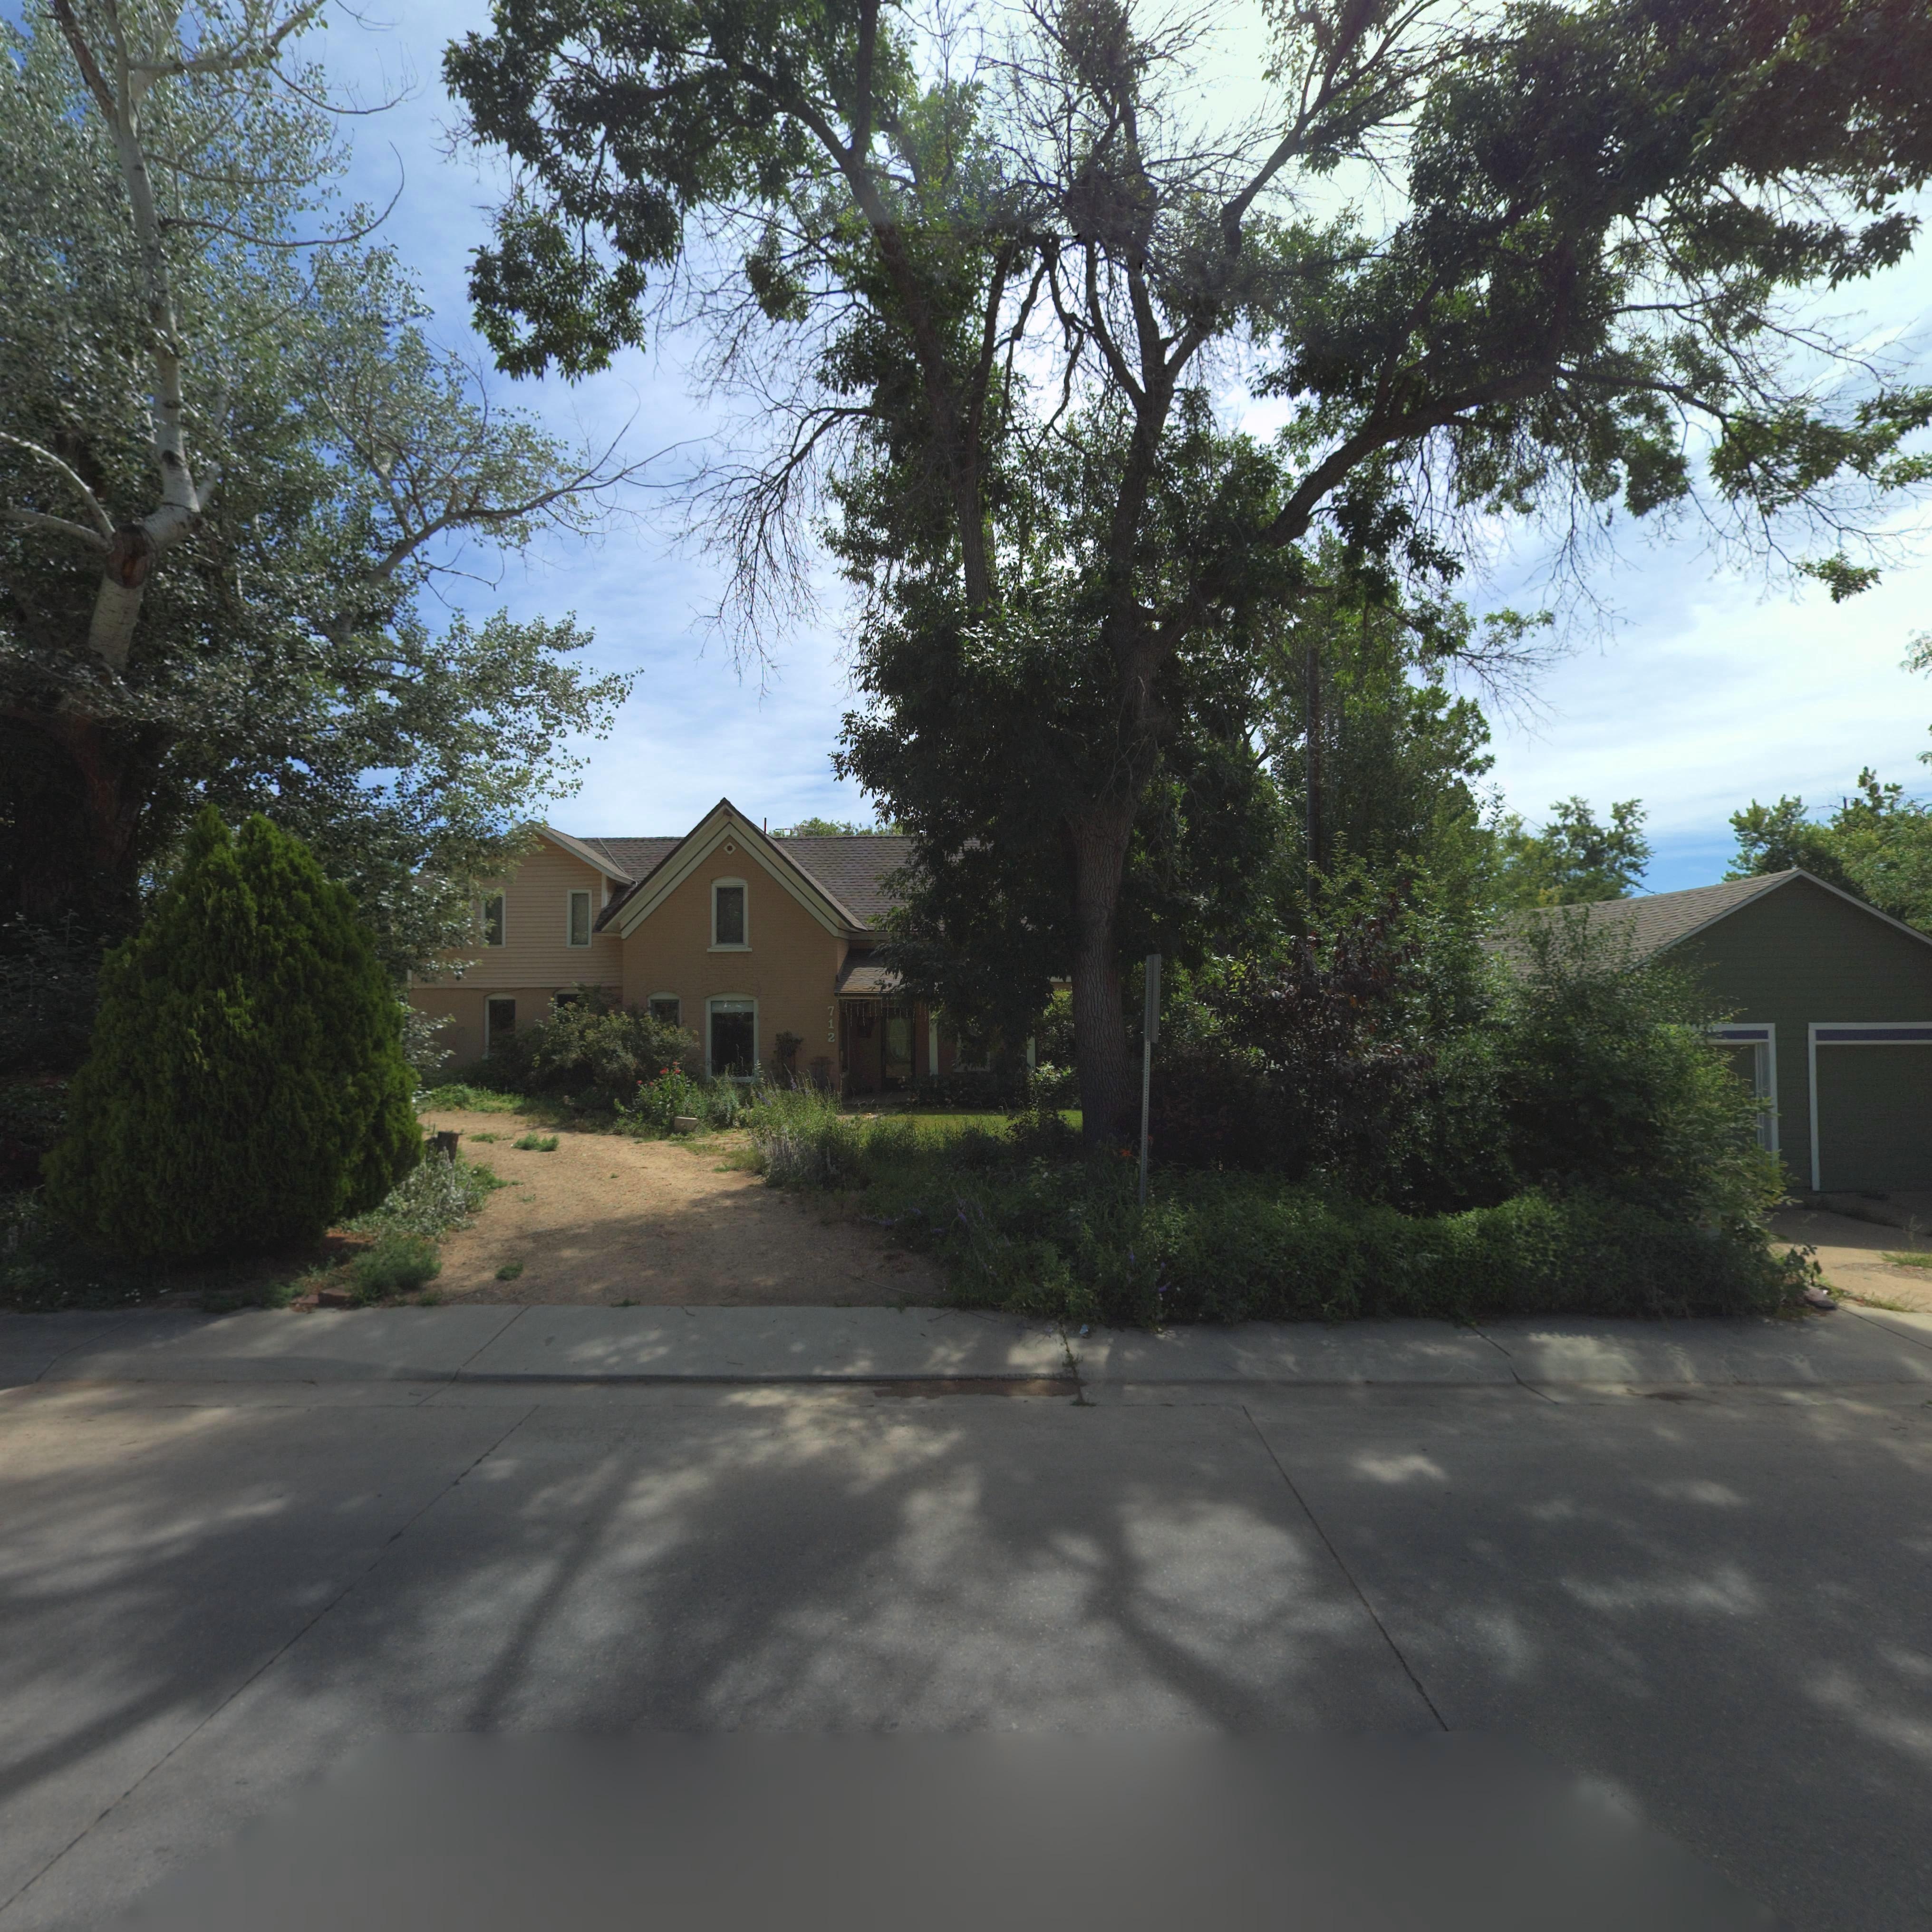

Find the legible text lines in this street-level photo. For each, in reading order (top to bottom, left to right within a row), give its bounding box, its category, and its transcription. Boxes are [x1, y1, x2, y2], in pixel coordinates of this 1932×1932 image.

[827, 1005, 835, 1043] StreetNumber: 712